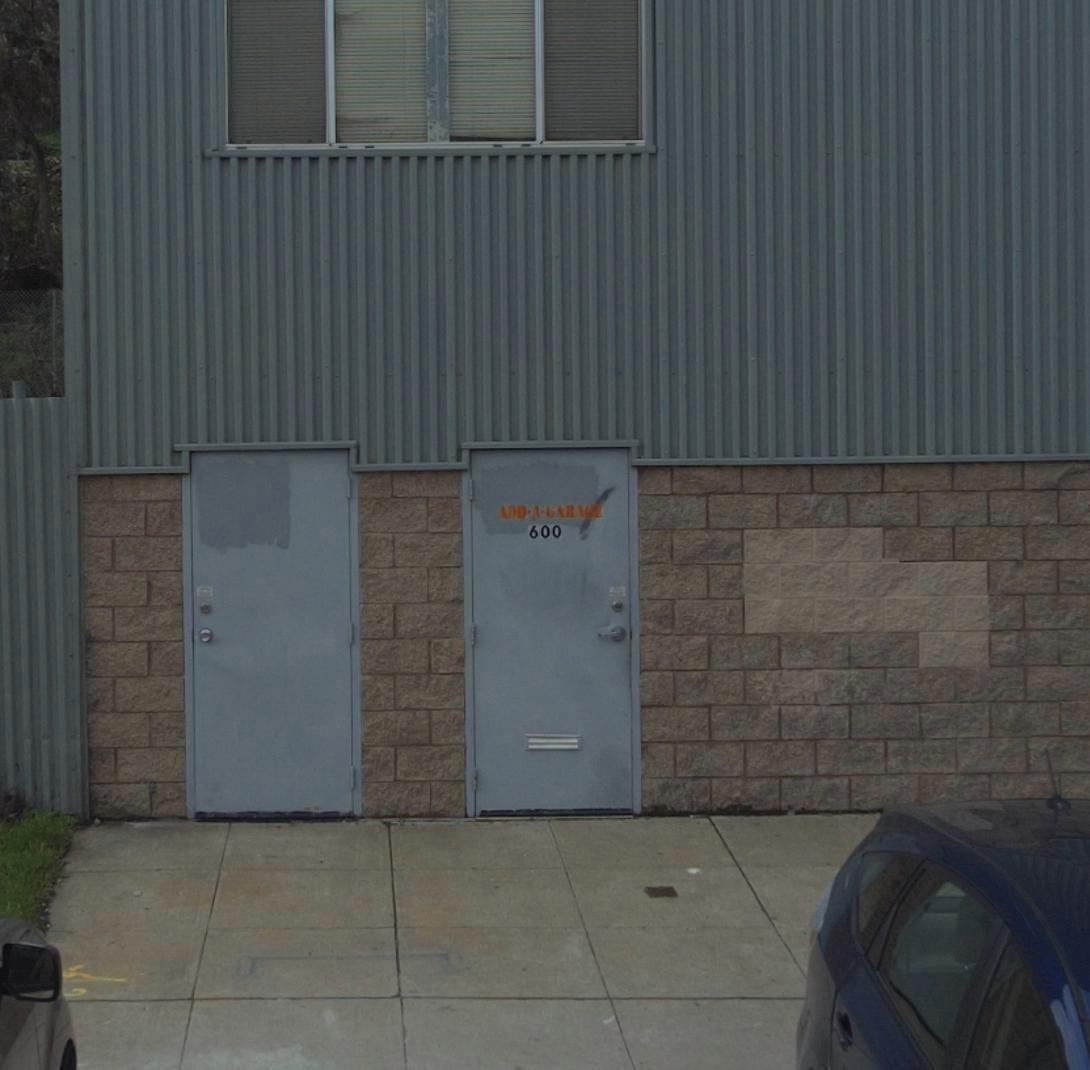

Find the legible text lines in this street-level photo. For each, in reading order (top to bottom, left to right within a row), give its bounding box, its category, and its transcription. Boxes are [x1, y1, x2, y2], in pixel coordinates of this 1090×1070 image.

[497, 503, 575, 519] None: ADD-A-GAR
[528, 524, 563, 540] StreetNumber: 600